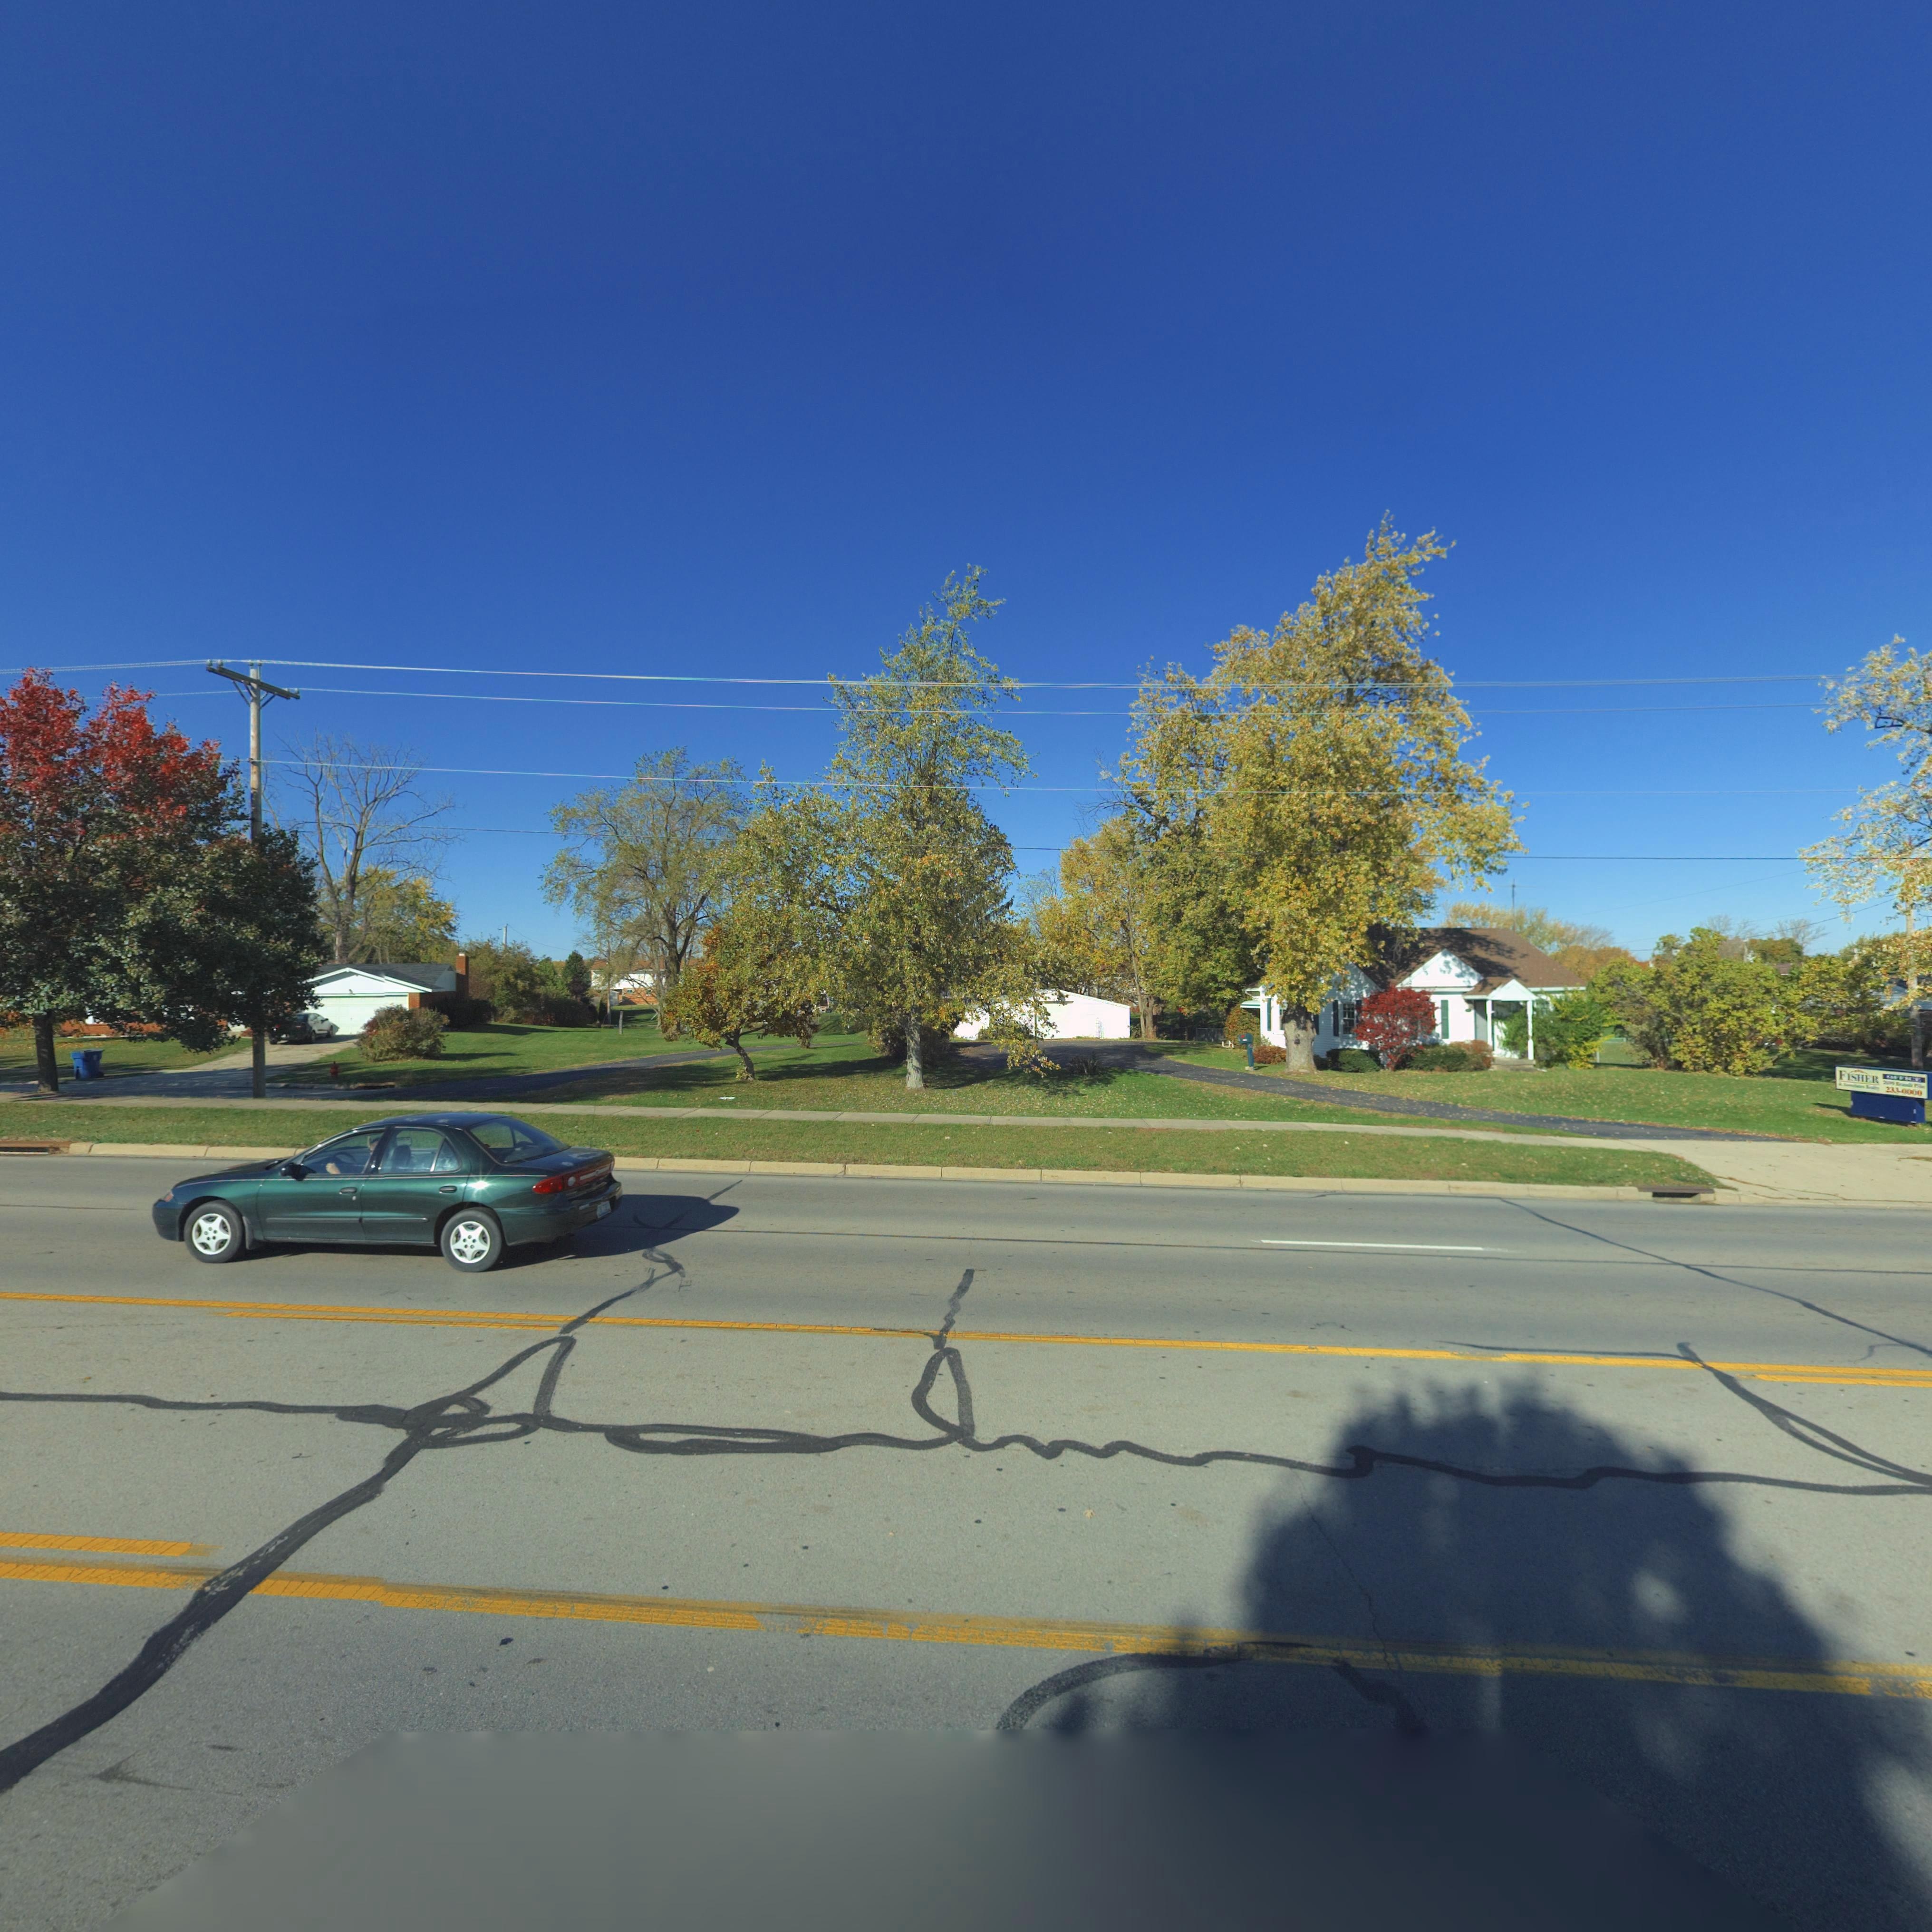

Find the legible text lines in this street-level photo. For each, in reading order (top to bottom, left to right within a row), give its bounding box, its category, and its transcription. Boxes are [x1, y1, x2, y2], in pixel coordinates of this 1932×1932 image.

[1882, 1080, 1895, 1085] StreetNumber: 2**9